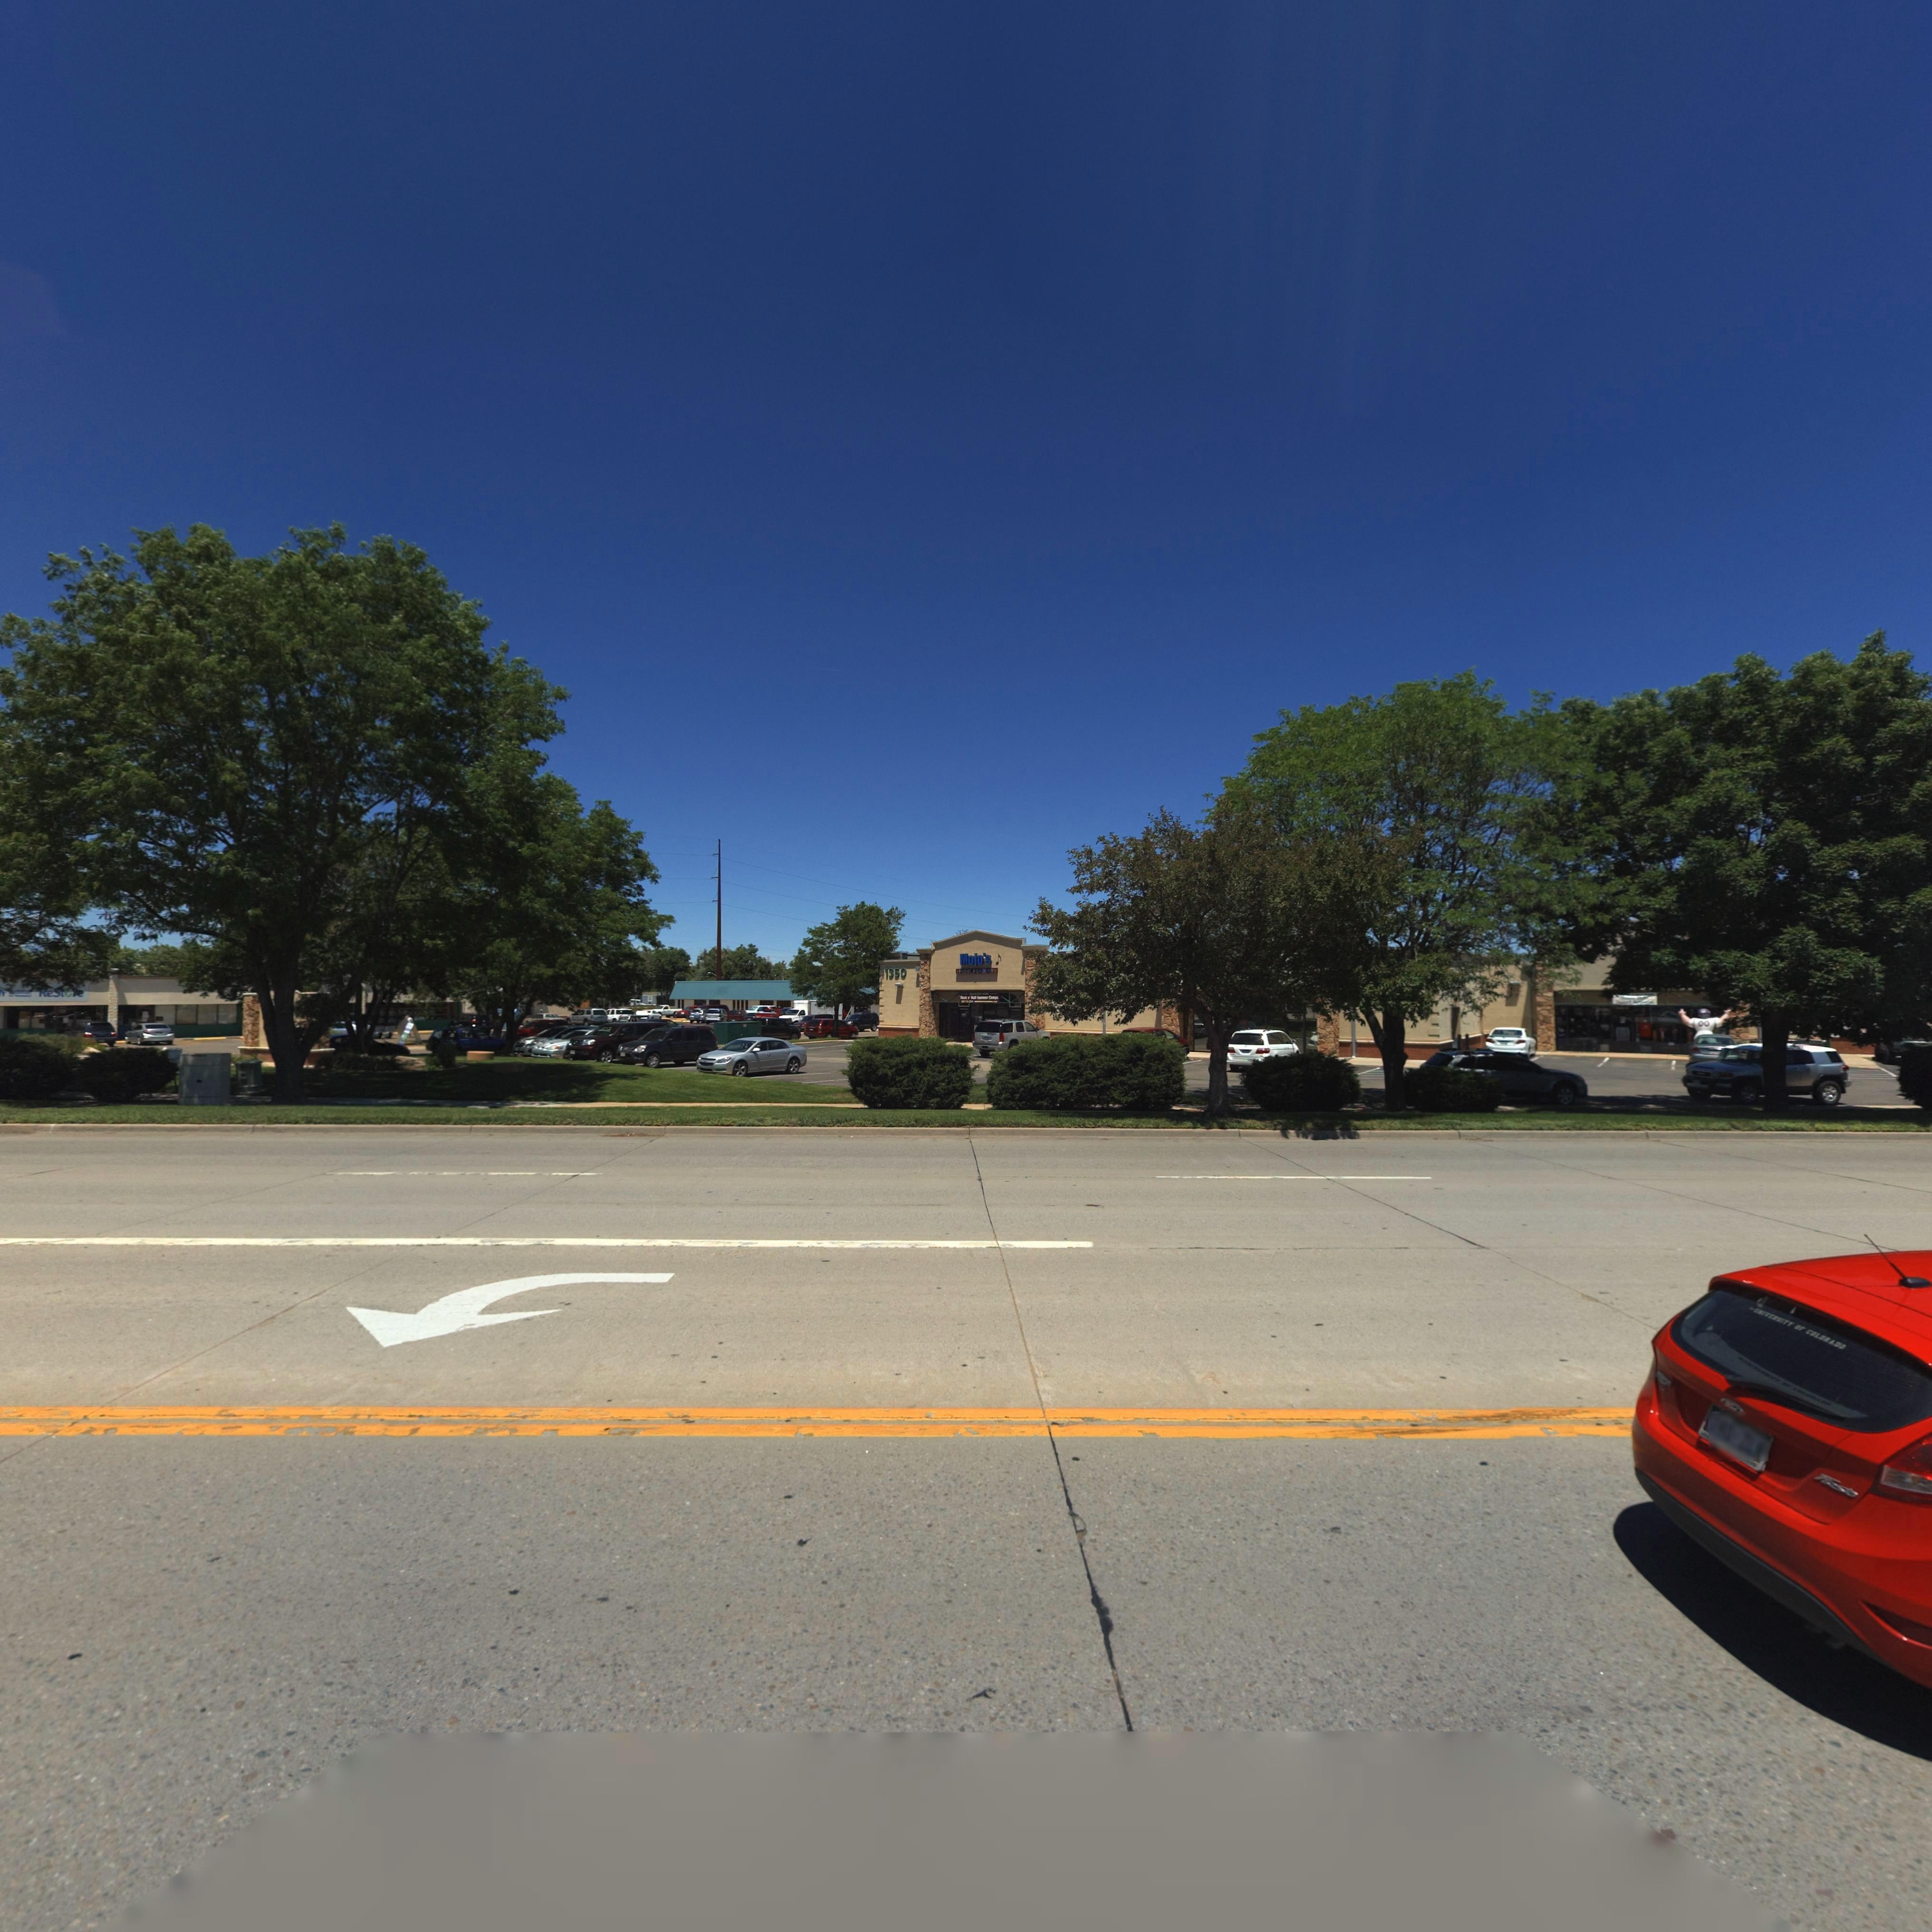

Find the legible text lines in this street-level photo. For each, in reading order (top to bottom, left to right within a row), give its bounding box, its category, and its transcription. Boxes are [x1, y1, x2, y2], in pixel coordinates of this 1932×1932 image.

[959, 952, 992, 966] BusinessName: Mojo's
[885, 966, 907, 977] StreetNumber: 1350